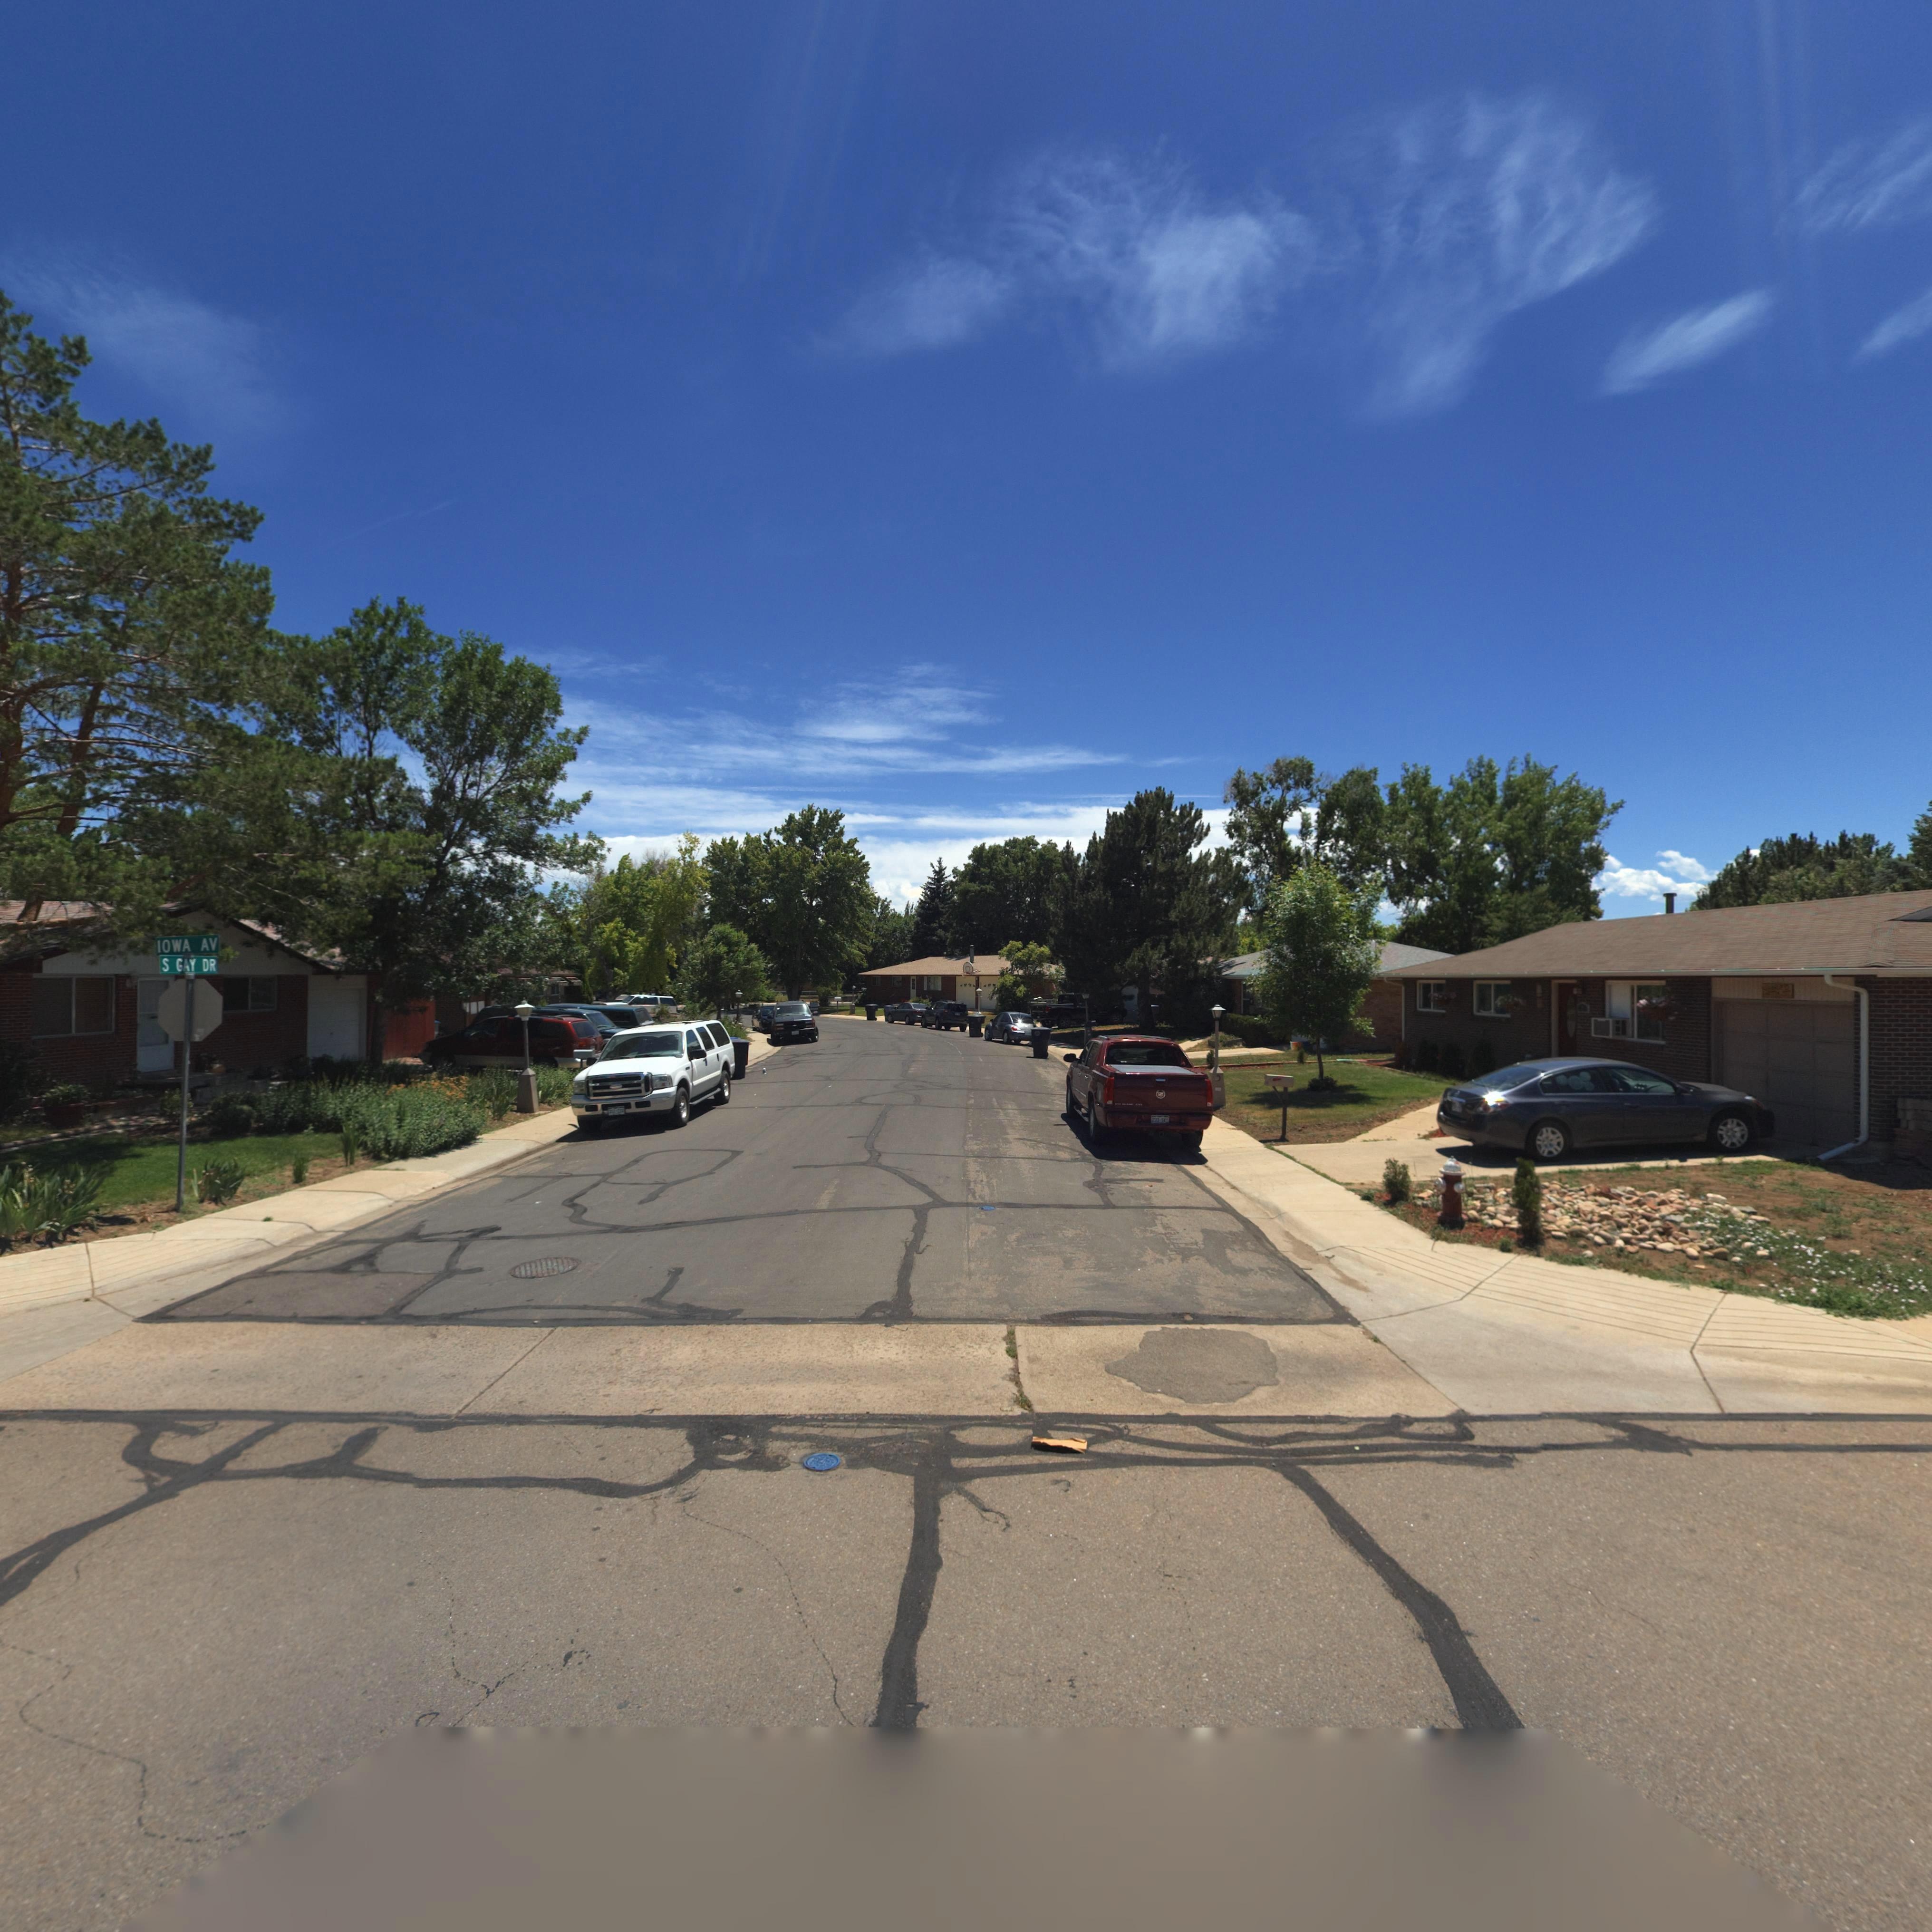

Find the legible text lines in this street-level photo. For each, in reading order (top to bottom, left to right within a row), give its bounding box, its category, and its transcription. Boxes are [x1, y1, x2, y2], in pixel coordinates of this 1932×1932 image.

[157, 937, 218, 953] StreetName: IOWA AV
[161, 957, 217, 972] StreetName: S GAY DR